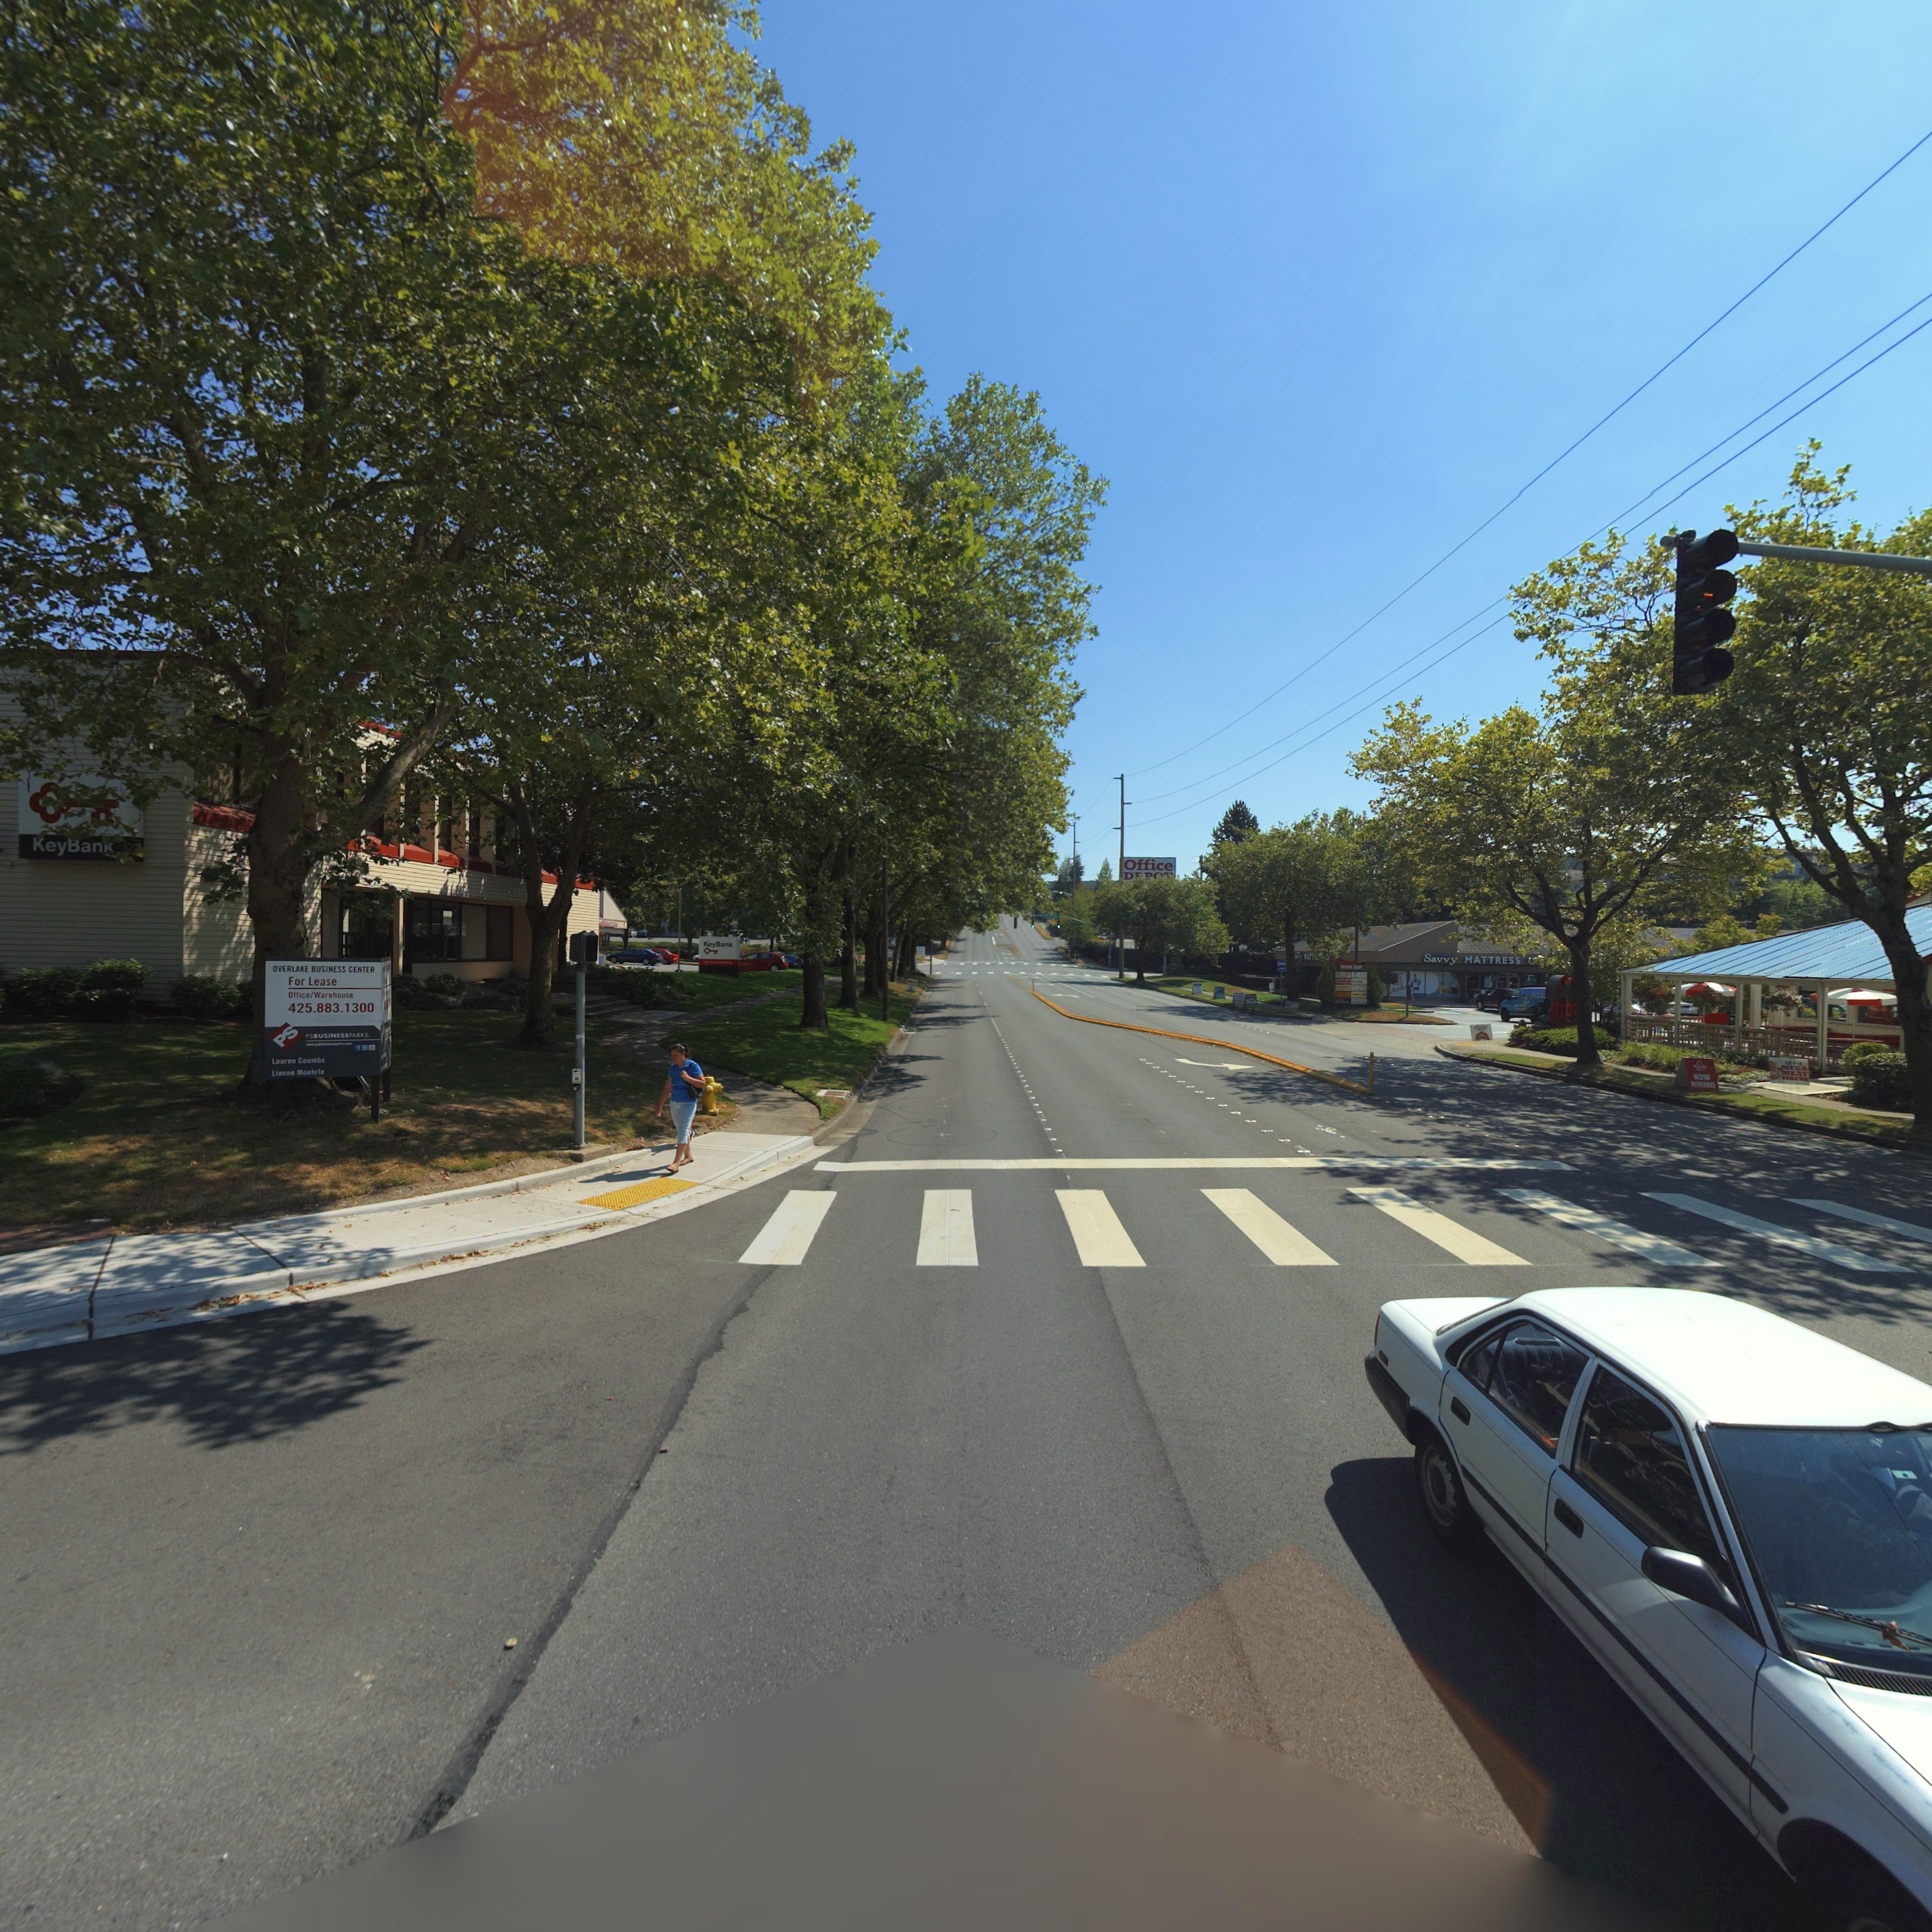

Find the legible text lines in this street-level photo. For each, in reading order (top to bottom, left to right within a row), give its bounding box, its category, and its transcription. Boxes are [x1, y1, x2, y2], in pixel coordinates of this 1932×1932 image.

[28, 831, 121, 858] StreetName: KeyBank
[1123, 858, 1174, 872] BusinessName: Office
[1424, 953, 1520, 965] BusinessName: Savvy MATTRESS